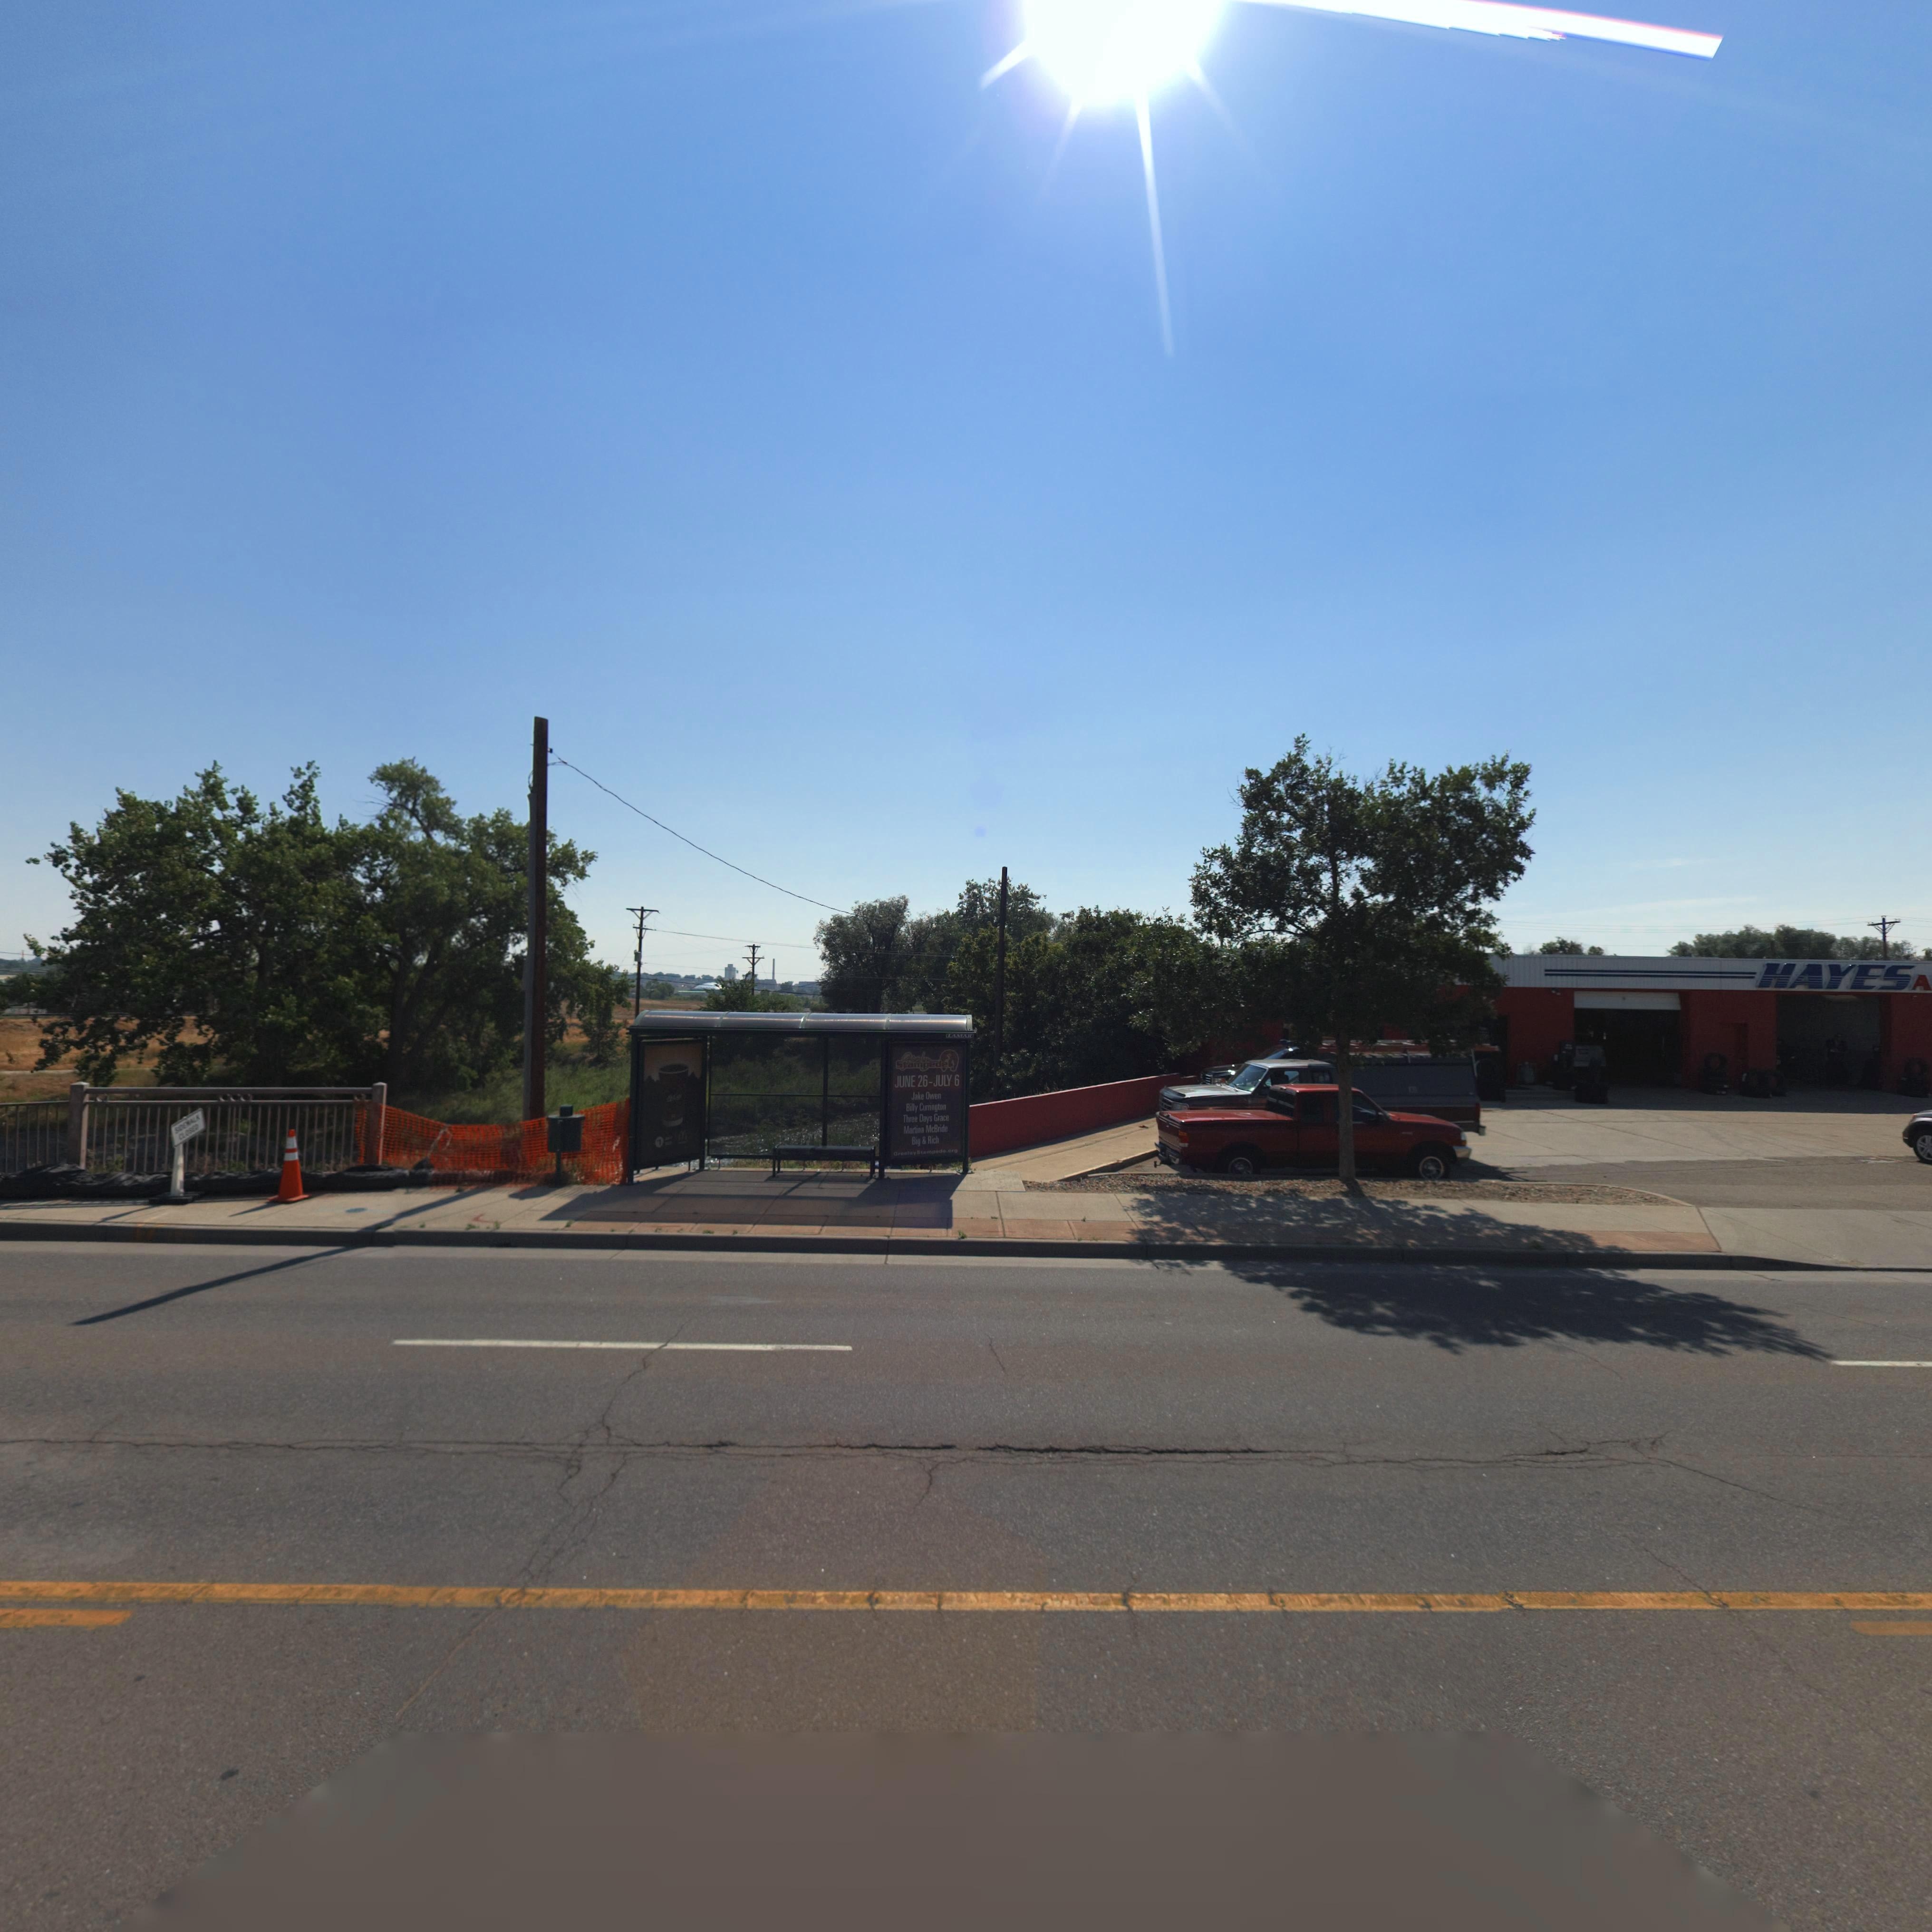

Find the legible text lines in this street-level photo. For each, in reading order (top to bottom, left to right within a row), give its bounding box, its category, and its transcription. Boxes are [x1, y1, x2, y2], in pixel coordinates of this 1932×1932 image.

[1757, 962, 1916, 990] BusinessName: HAYES